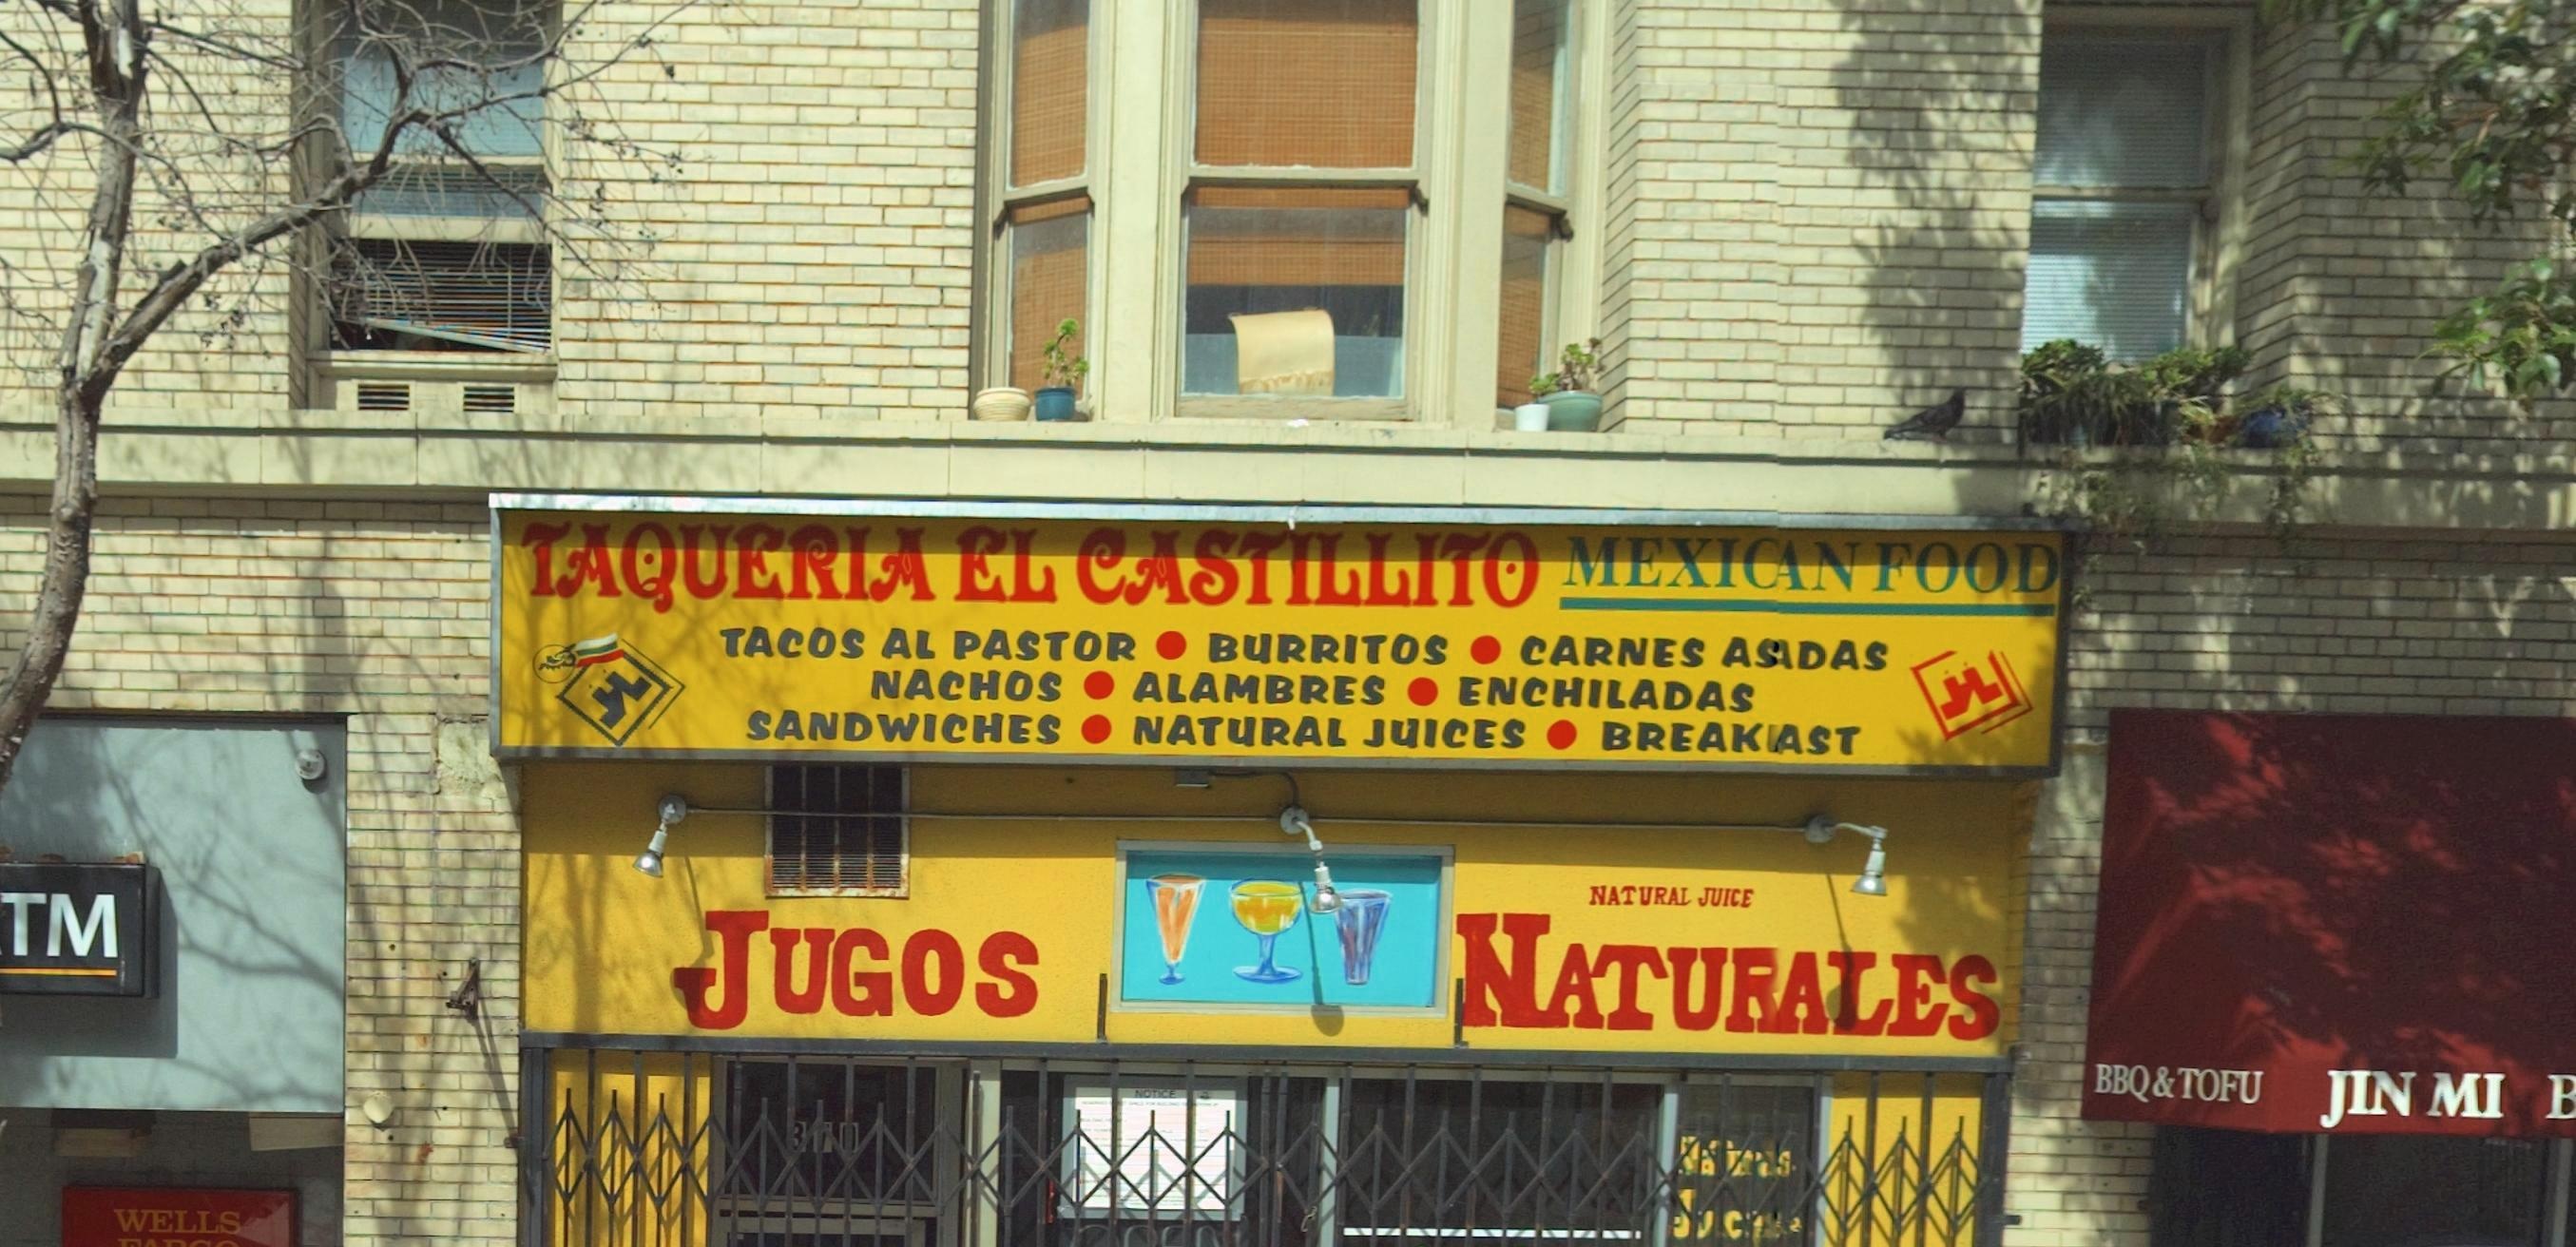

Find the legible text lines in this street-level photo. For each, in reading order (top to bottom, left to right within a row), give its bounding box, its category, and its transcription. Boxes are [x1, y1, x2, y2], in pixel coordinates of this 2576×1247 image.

[516, 515, 1546, 615] BusinessName: TAQUERIA EL CASTILLITO
[1557, 530, 2064, 597] None: MEXICAN FOOD
[710, 626, 1897, 678] None: TACOS AS PASTOR * BURRITOS * CARNES AS*DAS
[864, 667, 1761, 715] None: NACHOS * ALAMBRES * ENCHILADAS
[739, 704, 1871, 759] None: SANDWICHES * NATURAL JUICES * BREAKFAST
[1581, 881, 1759, 914] None: NATURAL JUICE
[0, 887, 125, 965] None: TM
[666, 906, 2007, 1045] None: JUGOS * NATURALES
[2089, 1062, 2269, 1108] None: BBQ & TOFU
[2314, 1067, 2509, 1131] BusinessName: JIN MI
[107, 1200, 246, 1240] BusinessName: WELLS